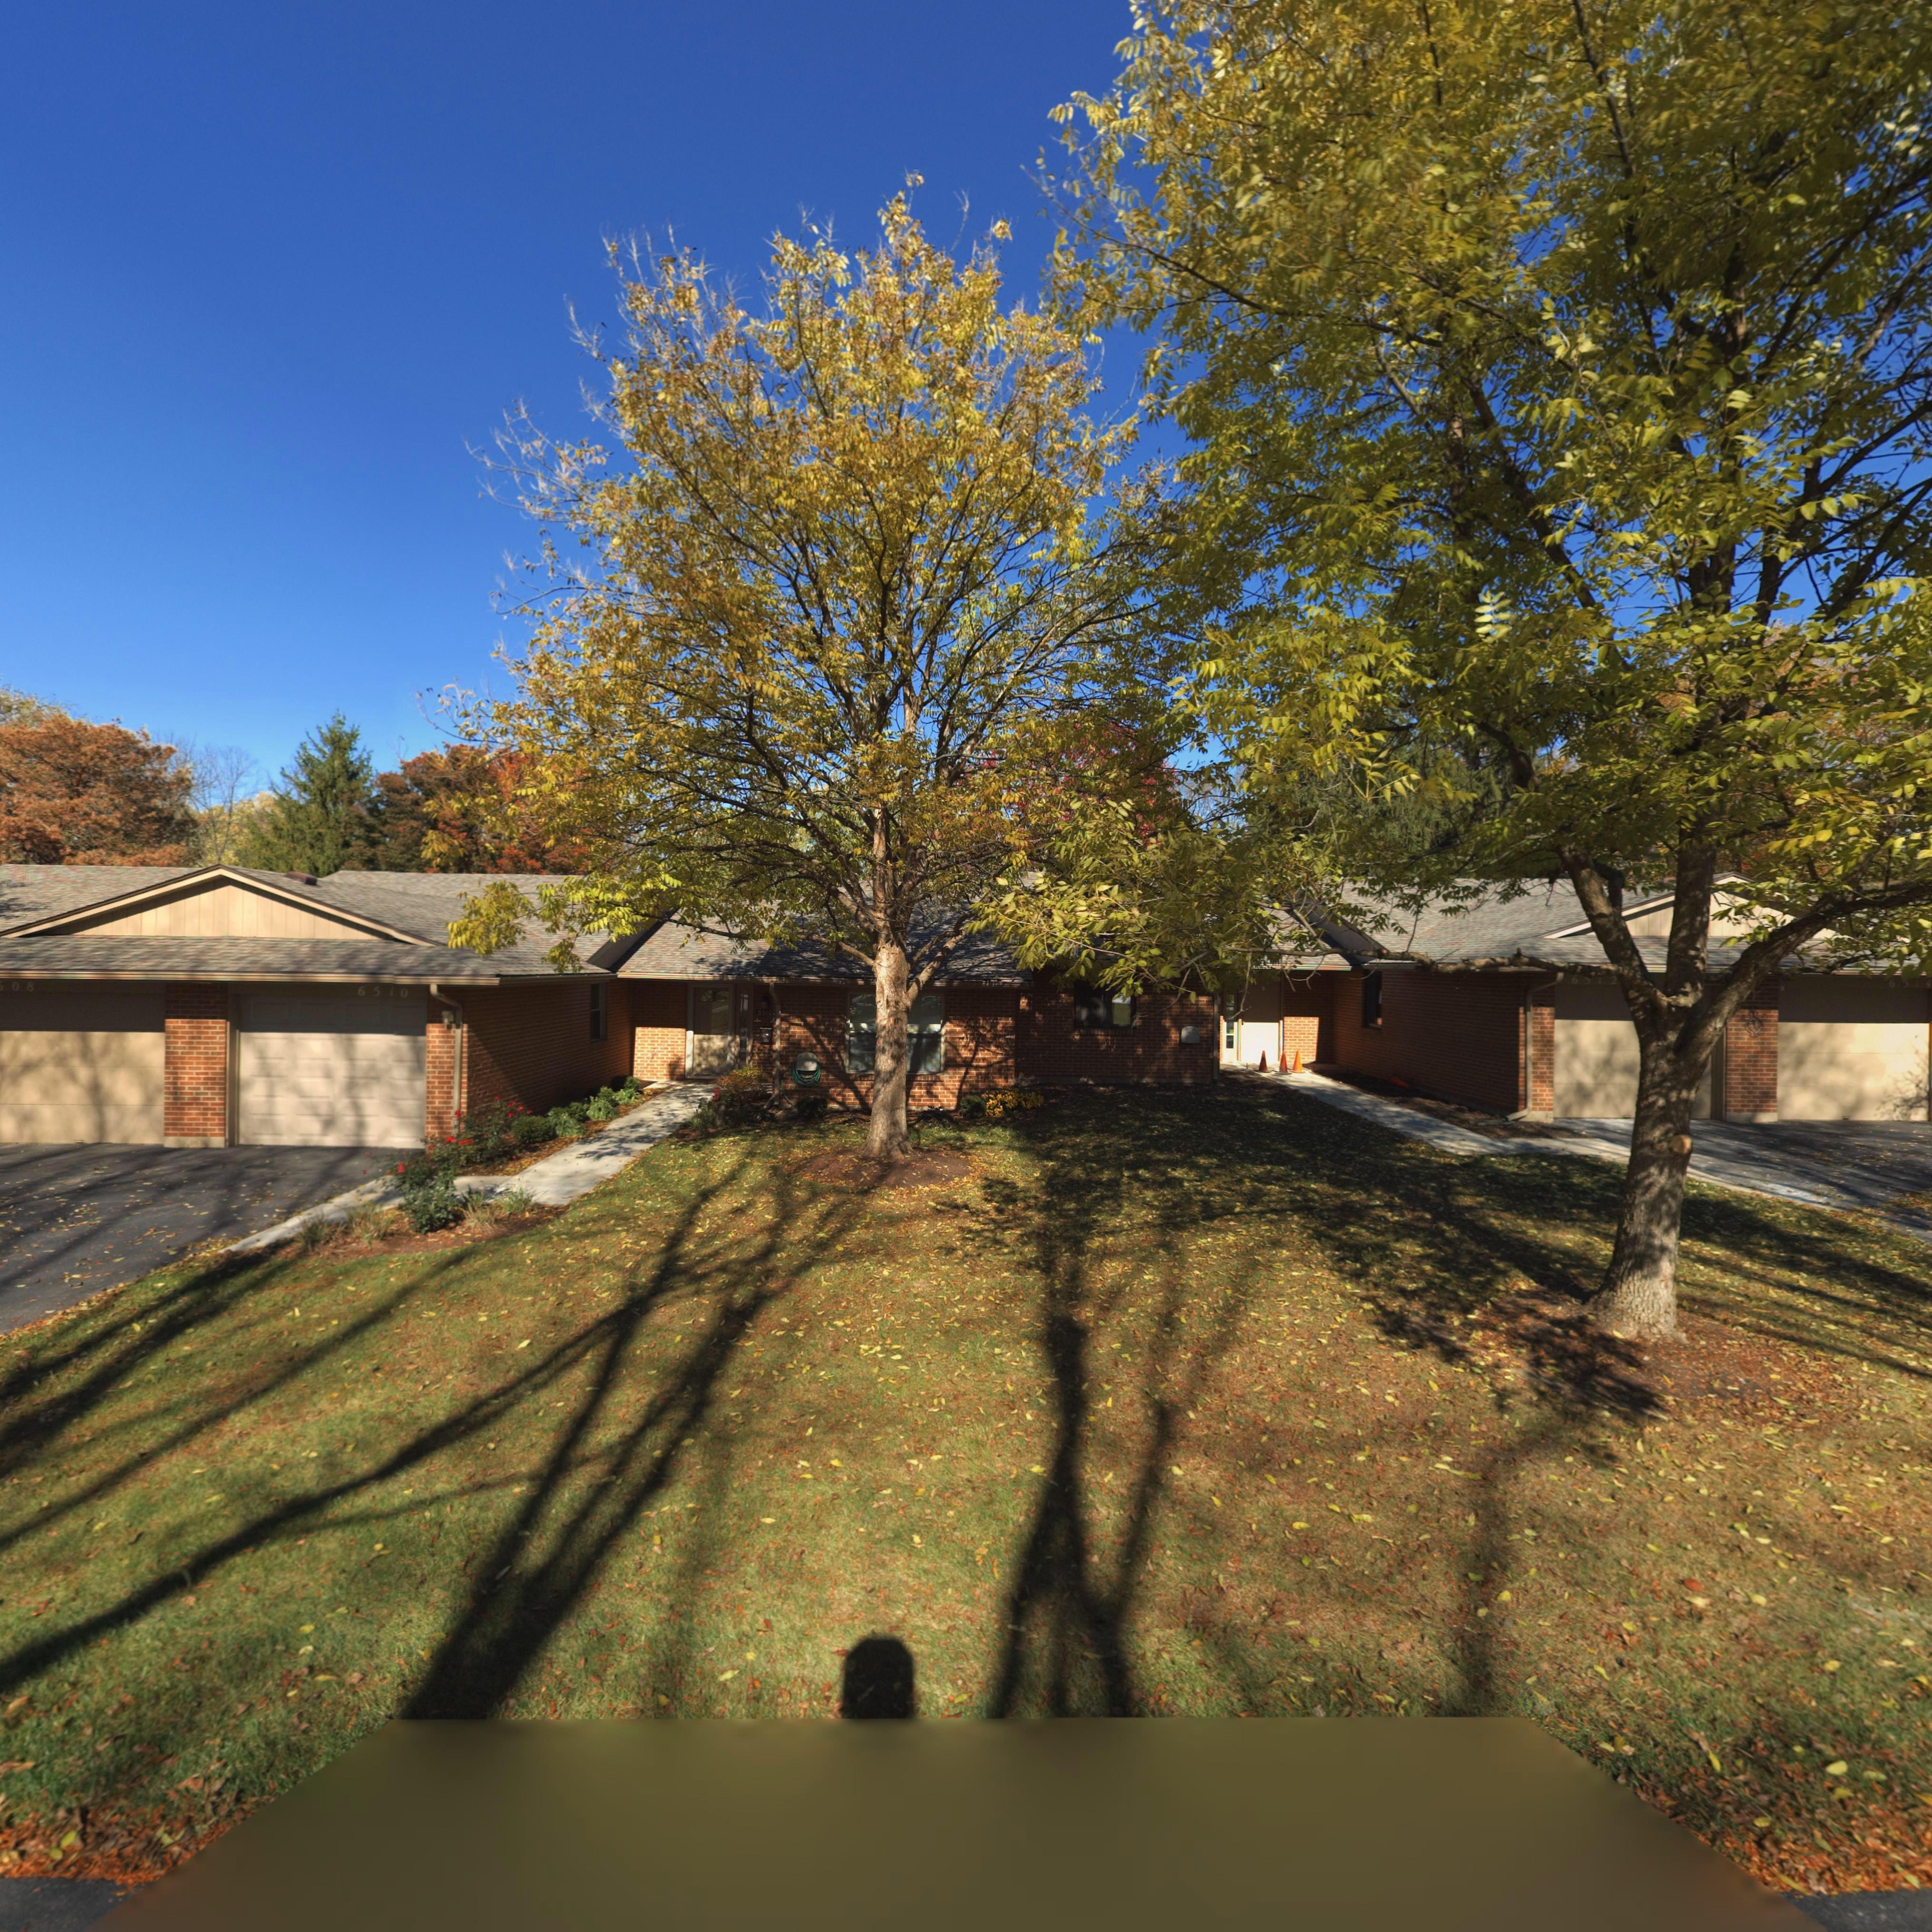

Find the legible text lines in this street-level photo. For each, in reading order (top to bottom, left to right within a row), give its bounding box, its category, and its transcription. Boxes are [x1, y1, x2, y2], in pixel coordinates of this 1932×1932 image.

[10, 980, 36, 993] StreetNumber: 08
[357, 984, 409, 999] StreetNumber: 6510
[1570, 973, 1619, 985] StreetNumber: 6**2
[1888, 978, 1895, 989] StreetNumber: 6
[757, 1009, 773, 1016] StreetNumber: 6510